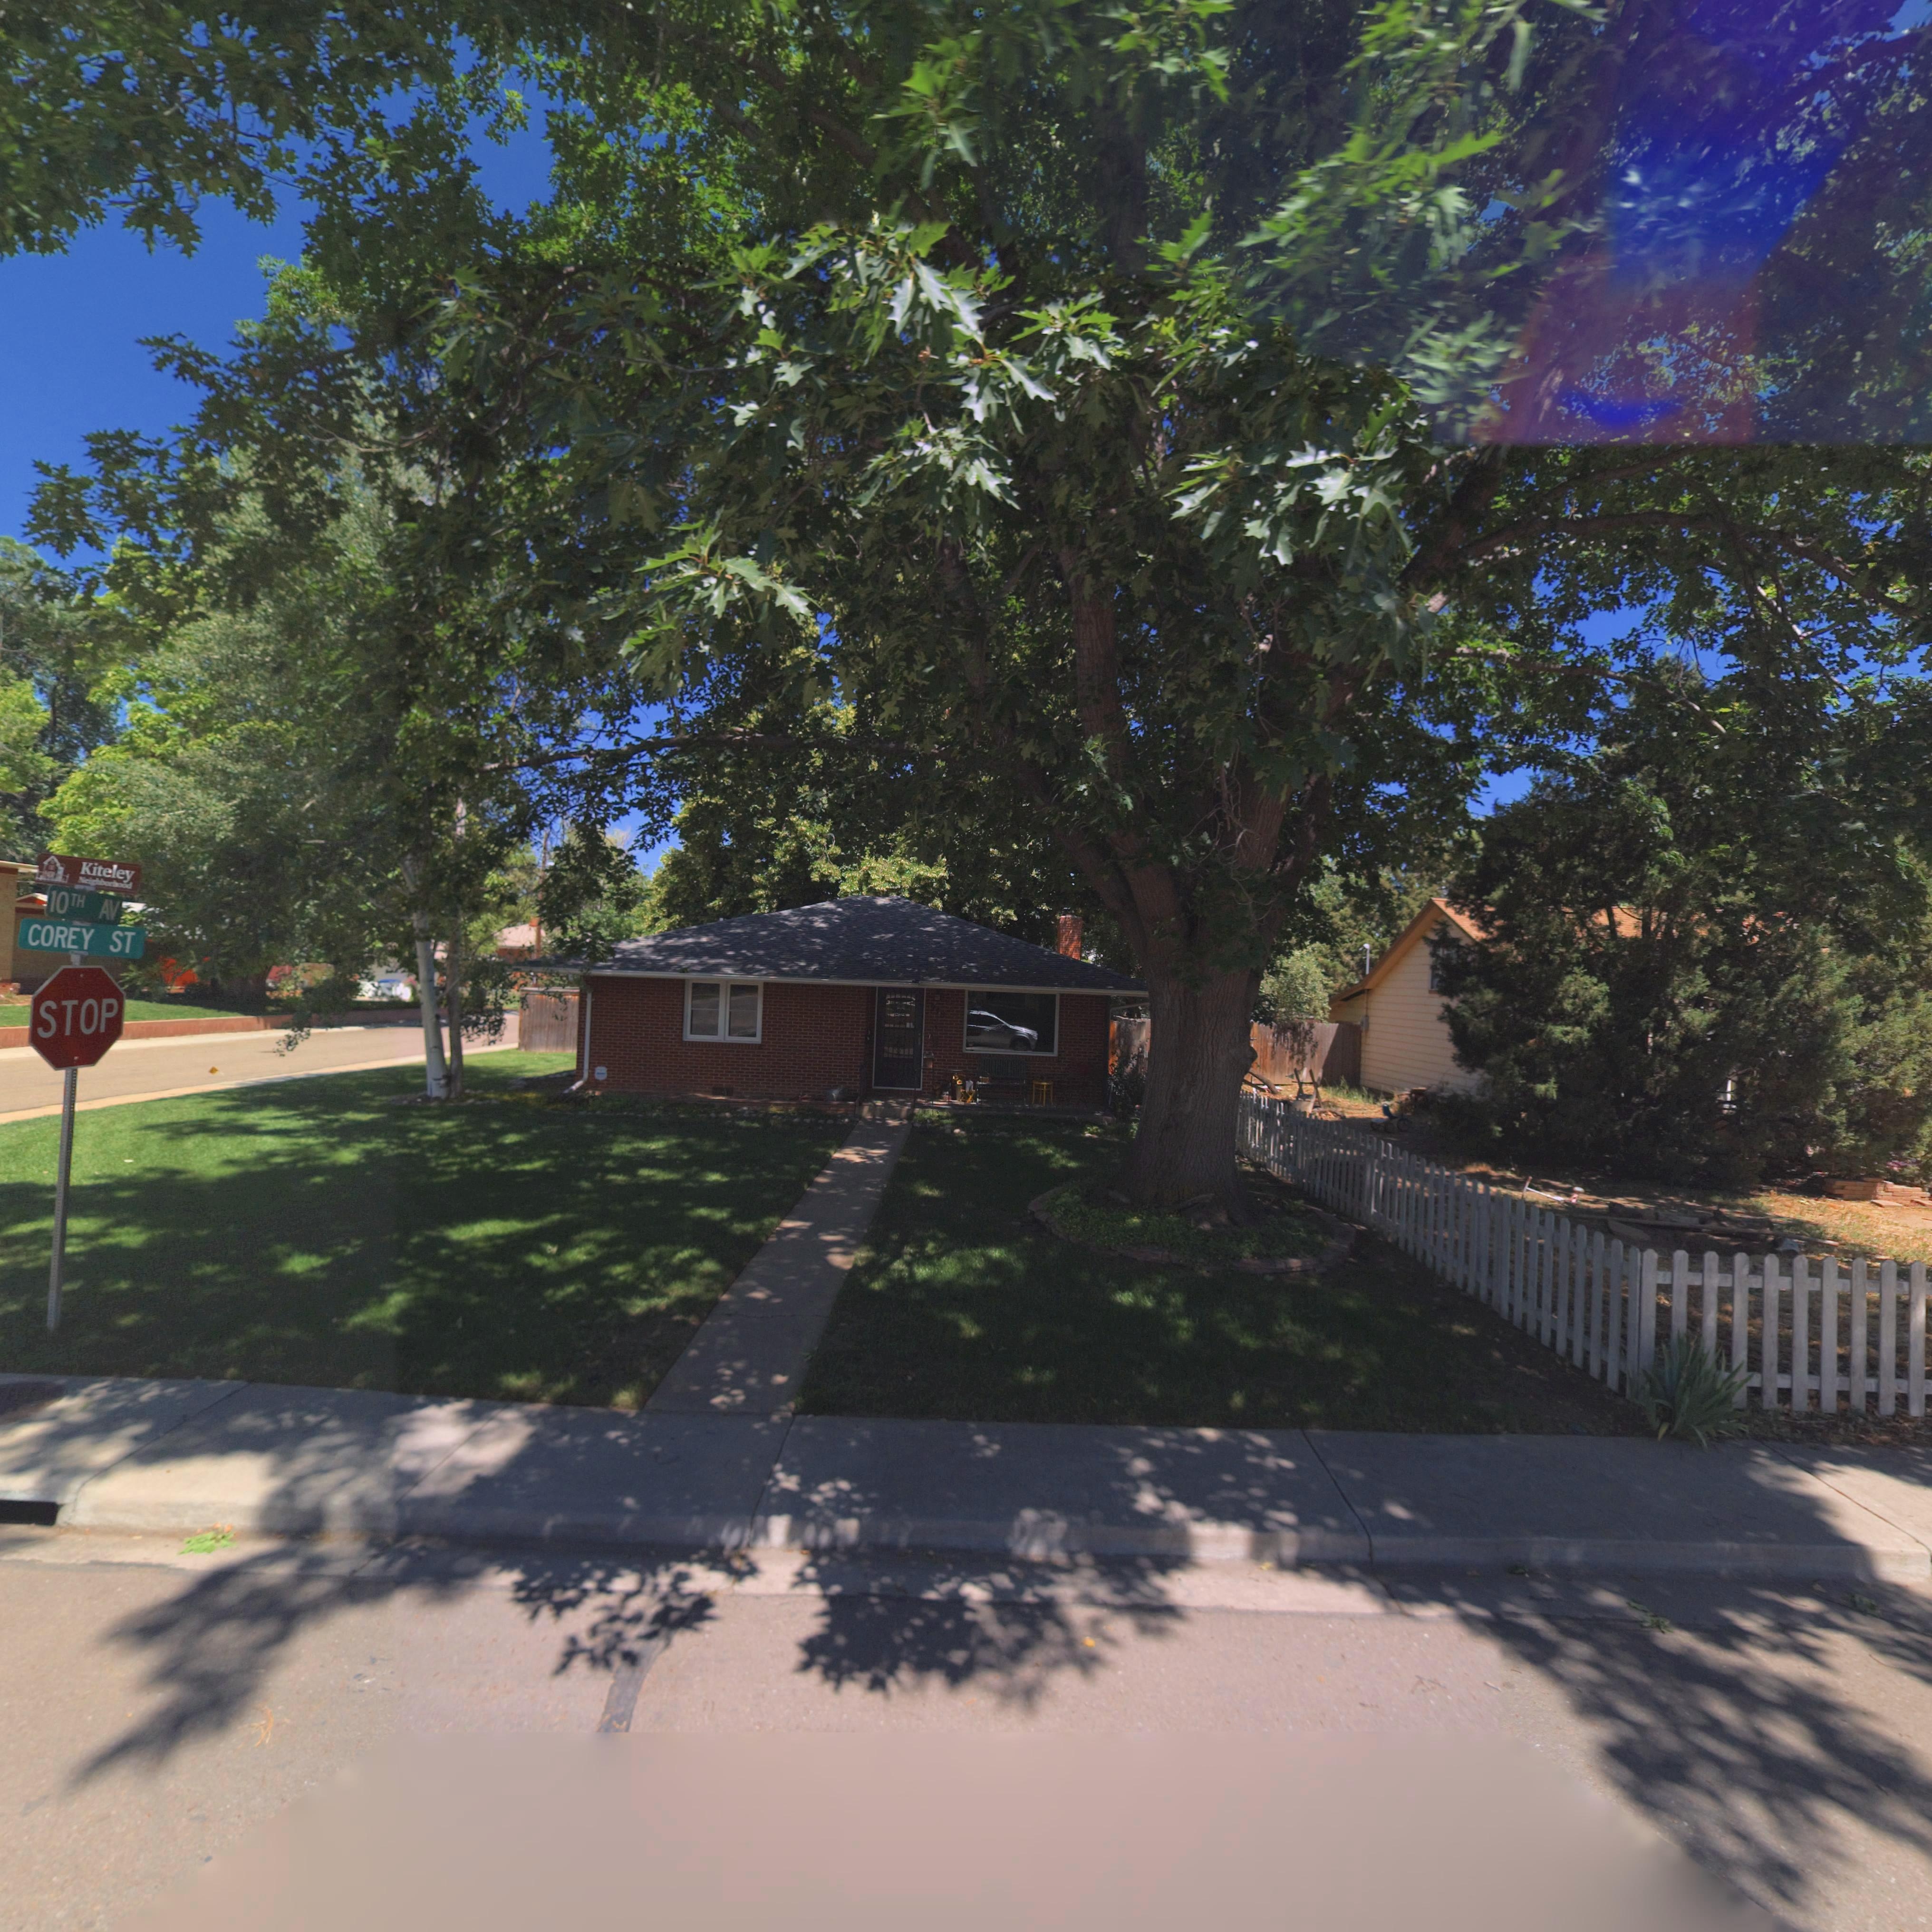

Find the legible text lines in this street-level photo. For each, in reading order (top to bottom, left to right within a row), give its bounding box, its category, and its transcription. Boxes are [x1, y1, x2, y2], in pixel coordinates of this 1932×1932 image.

[50, 889, 121, 921] StreetName: 10TH AV
[27, 923, 136, 953] StreetName: COREY ST
[929, 1004, 945, 1018] StreetNumber: *48